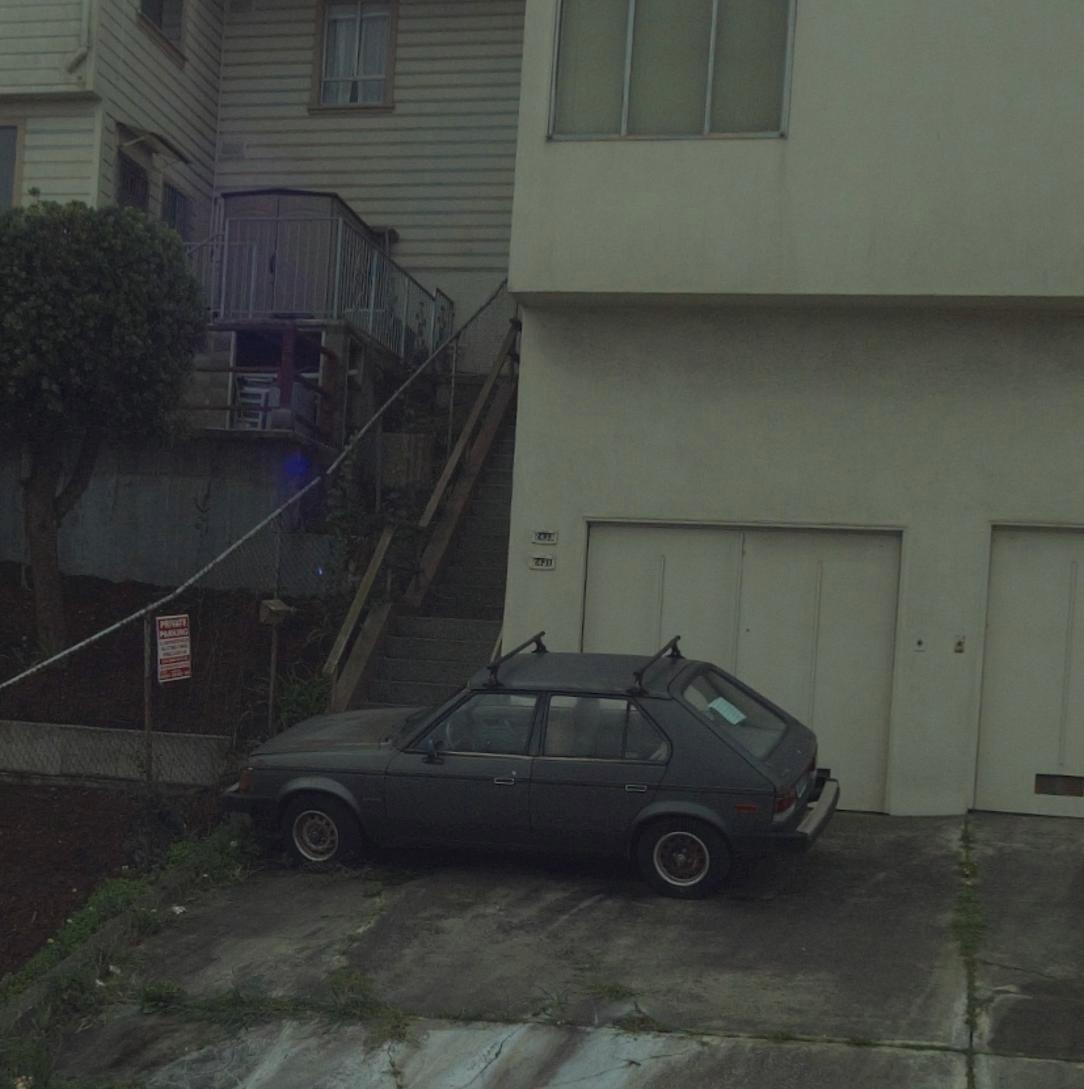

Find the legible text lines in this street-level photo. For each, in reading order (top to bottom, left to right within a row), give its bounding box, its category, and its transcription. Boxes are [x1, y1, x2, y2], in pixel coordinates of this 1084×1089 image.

[534, 532, 555, 542] StreetNumber: 2433
[531, 557, 553, 567] StreetNumber: 2431
[159, 617, 187, 630] None: PRI*AT*
[158, 627, 190, 639] None: PARKING